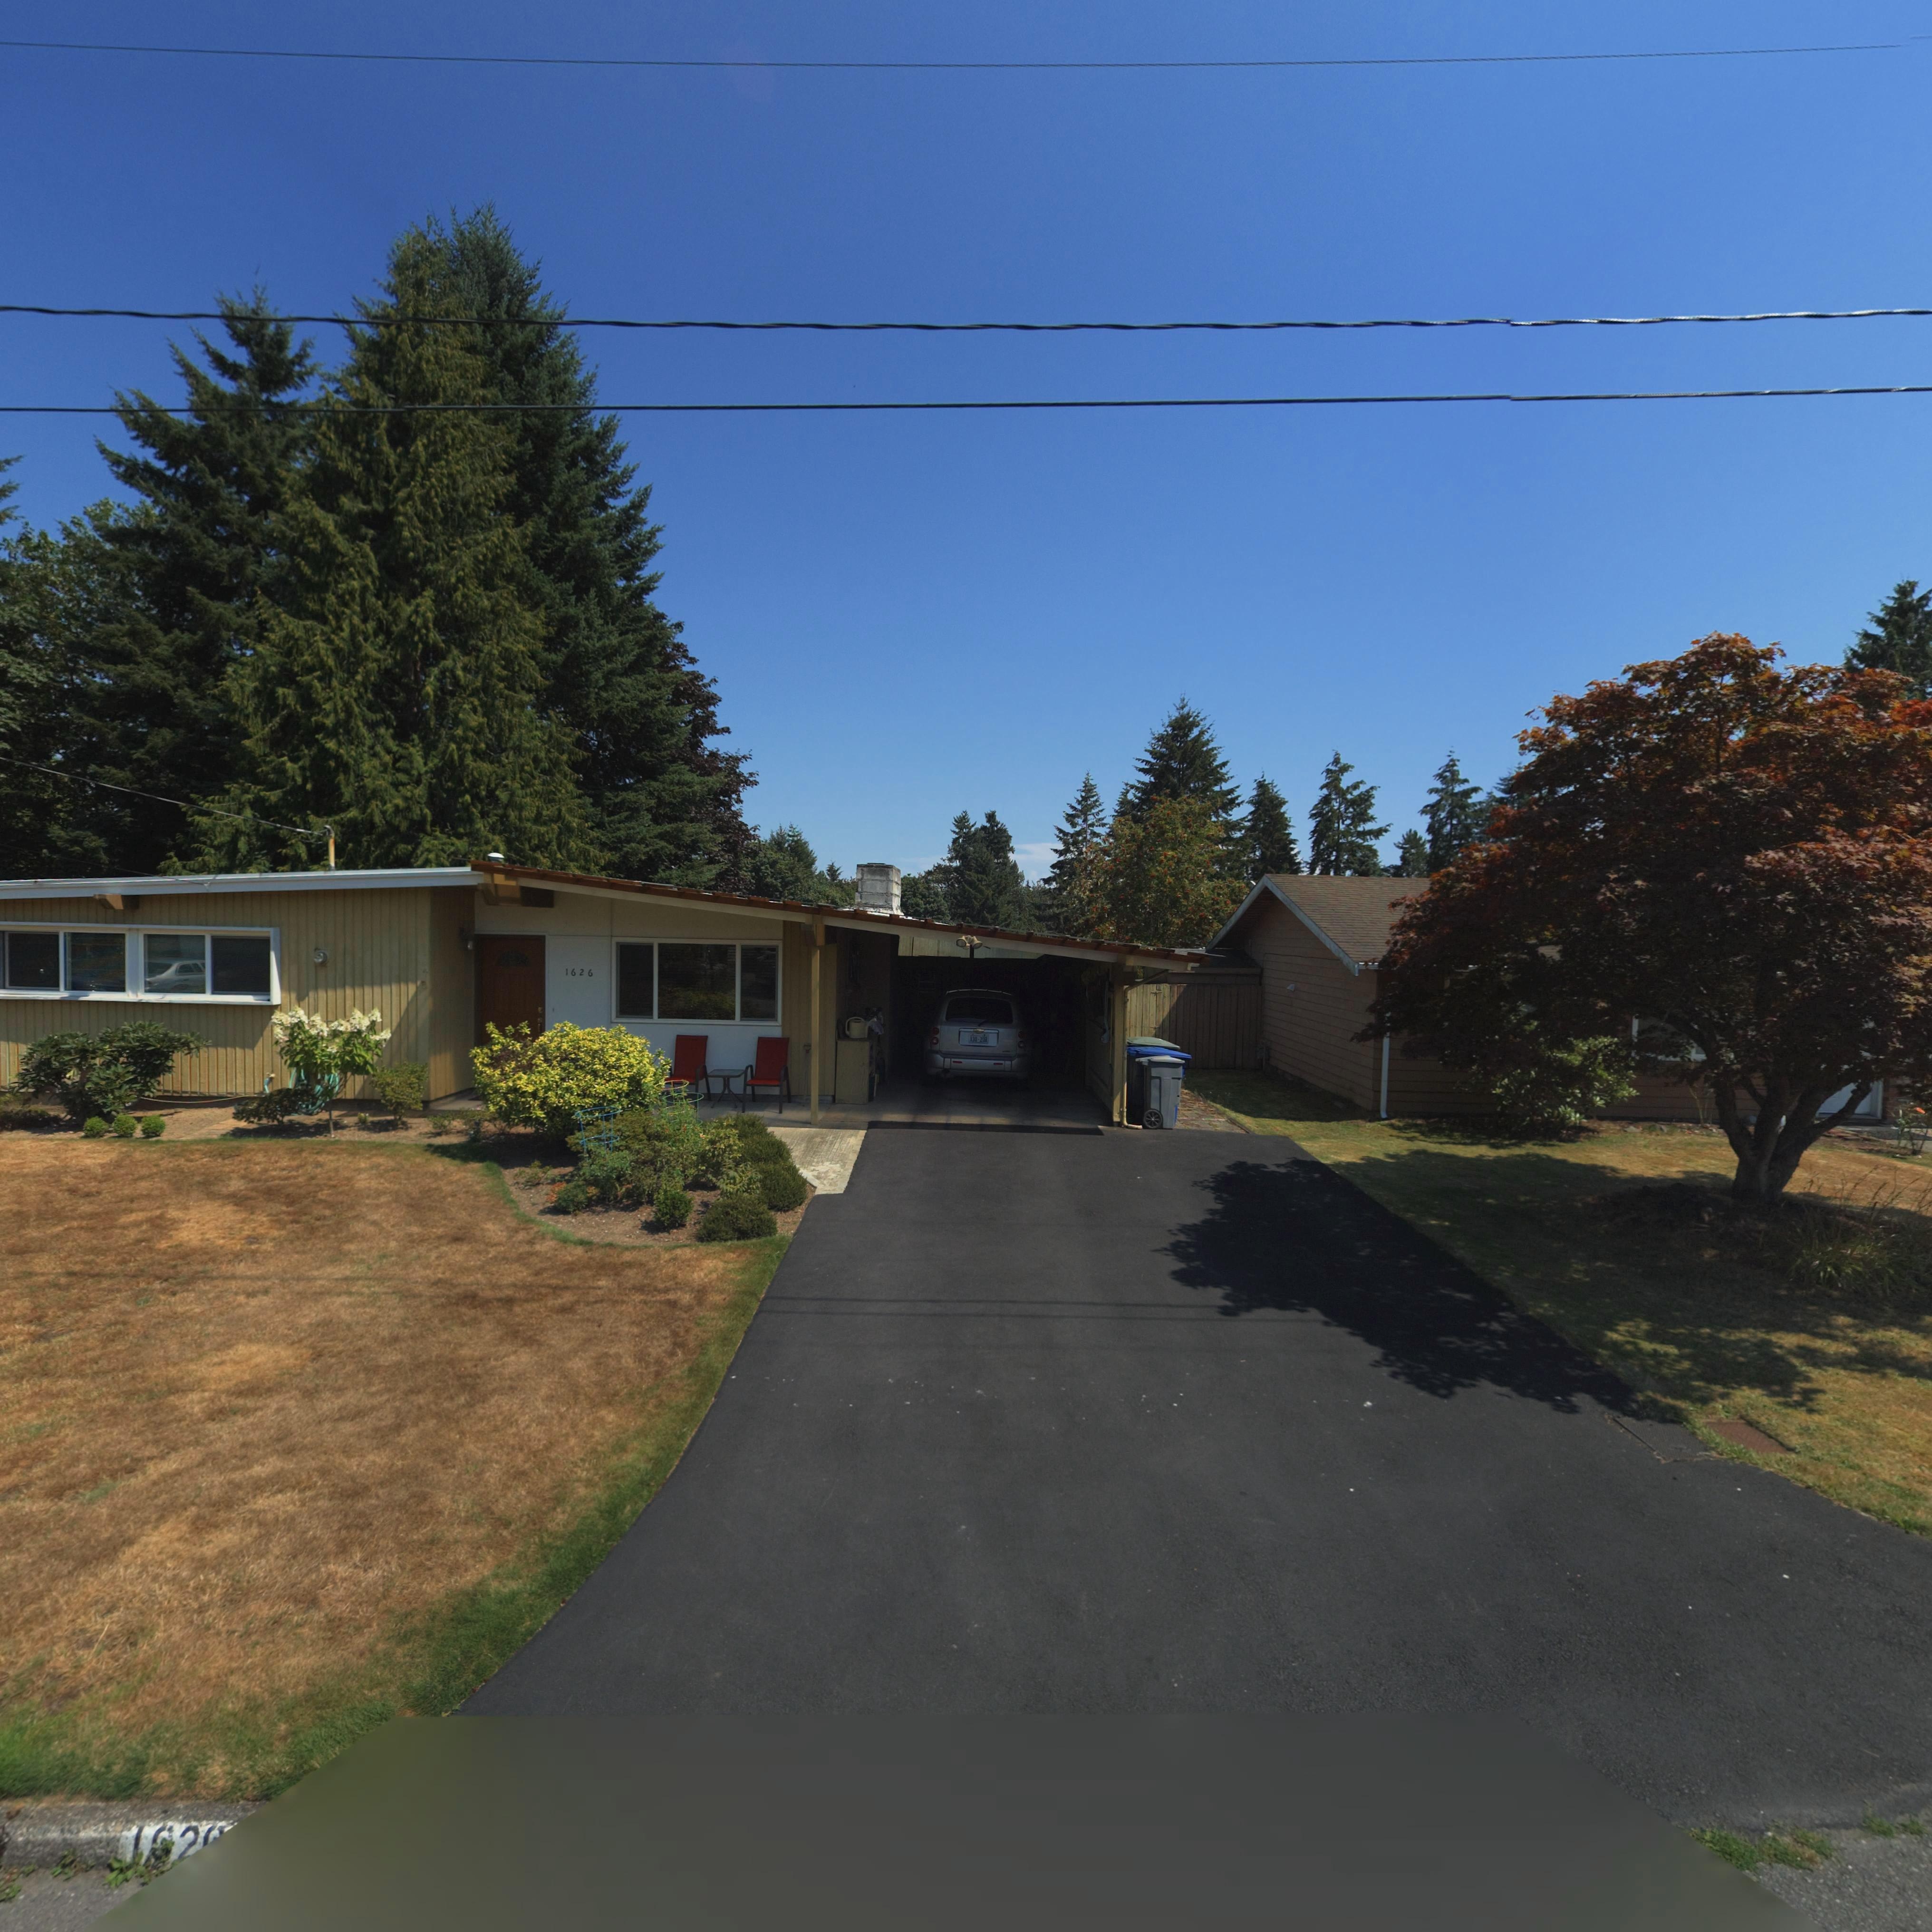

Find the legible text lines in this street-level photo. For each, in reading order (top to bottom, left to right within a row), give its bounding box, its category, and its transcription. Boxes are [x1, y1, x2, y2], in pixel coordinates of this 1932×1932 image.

[563, 968, 593, 977] StreetNumber: 1626
[130, 1821, 229, 1870] StreetNumber: 1*2*